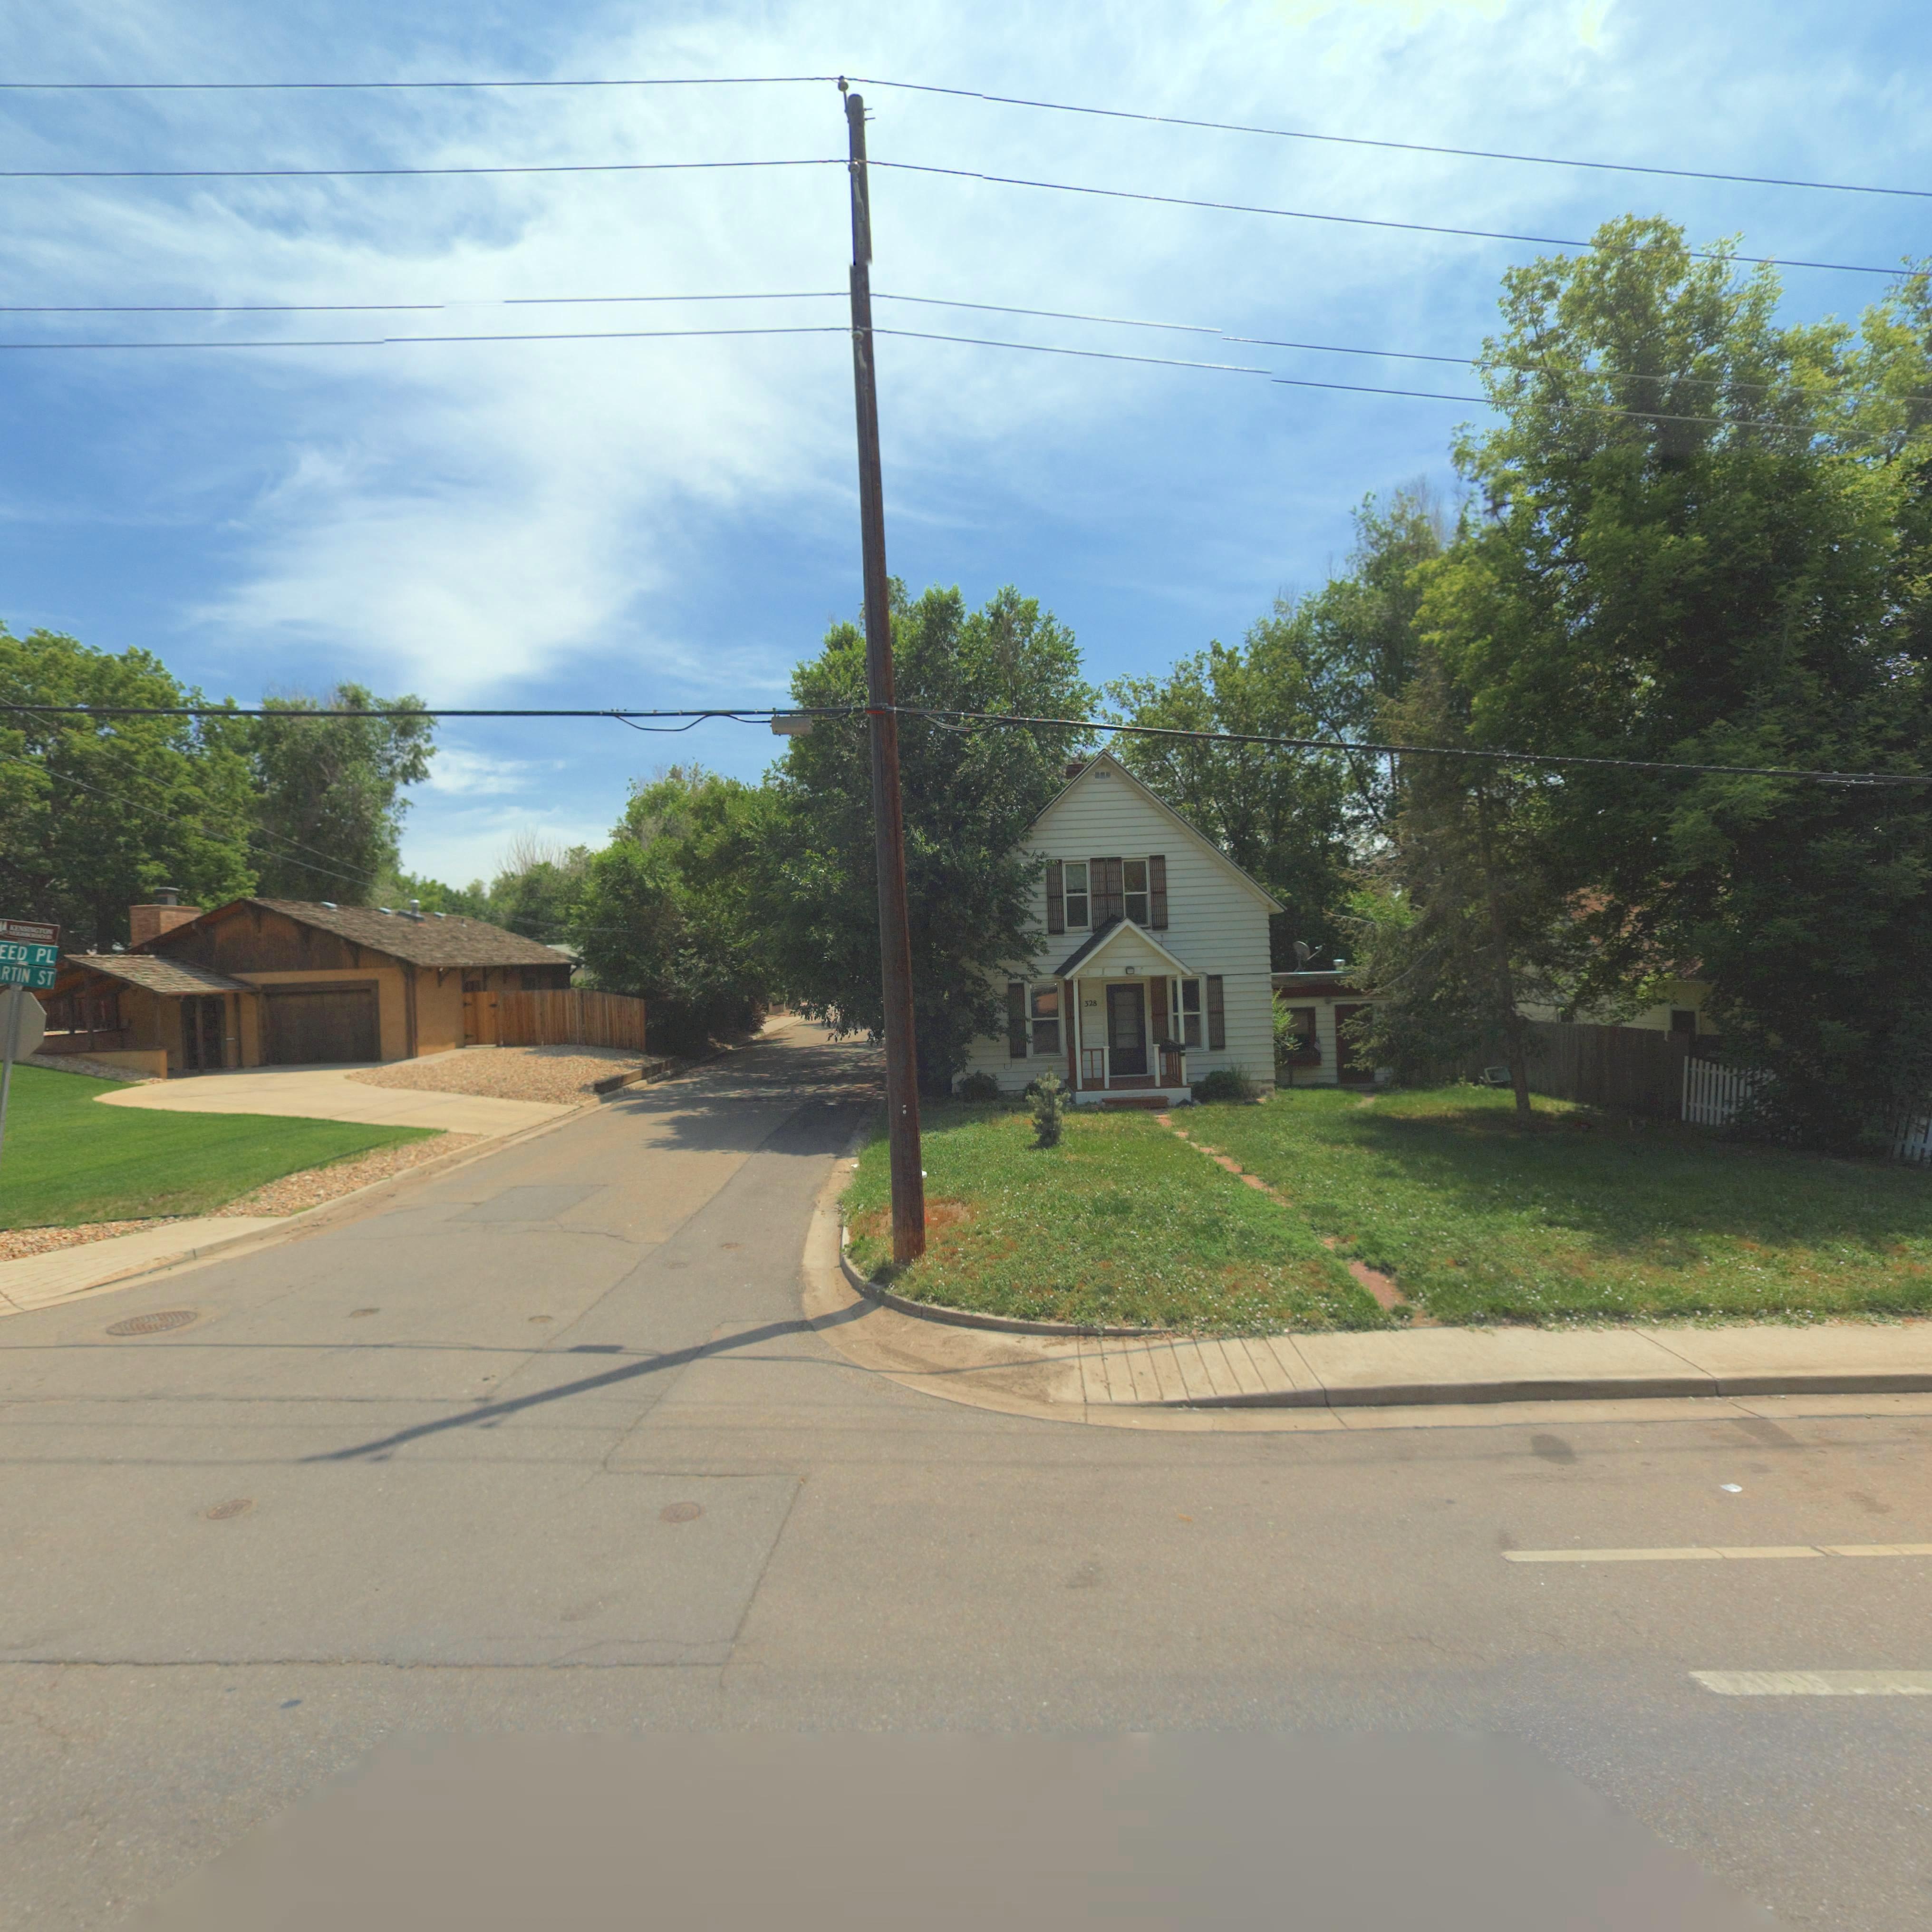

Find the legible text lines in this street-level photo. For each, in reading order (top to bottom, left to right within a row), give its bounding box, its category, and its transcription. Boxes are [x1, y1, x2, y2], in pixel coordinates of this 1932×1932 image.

[6, 944, 54, 964] StreetName: ED PL
[0, 965, 54, 986] StreetName: RTIN ST
[1083, 999, 1097, 1006] StreetNumber: 328